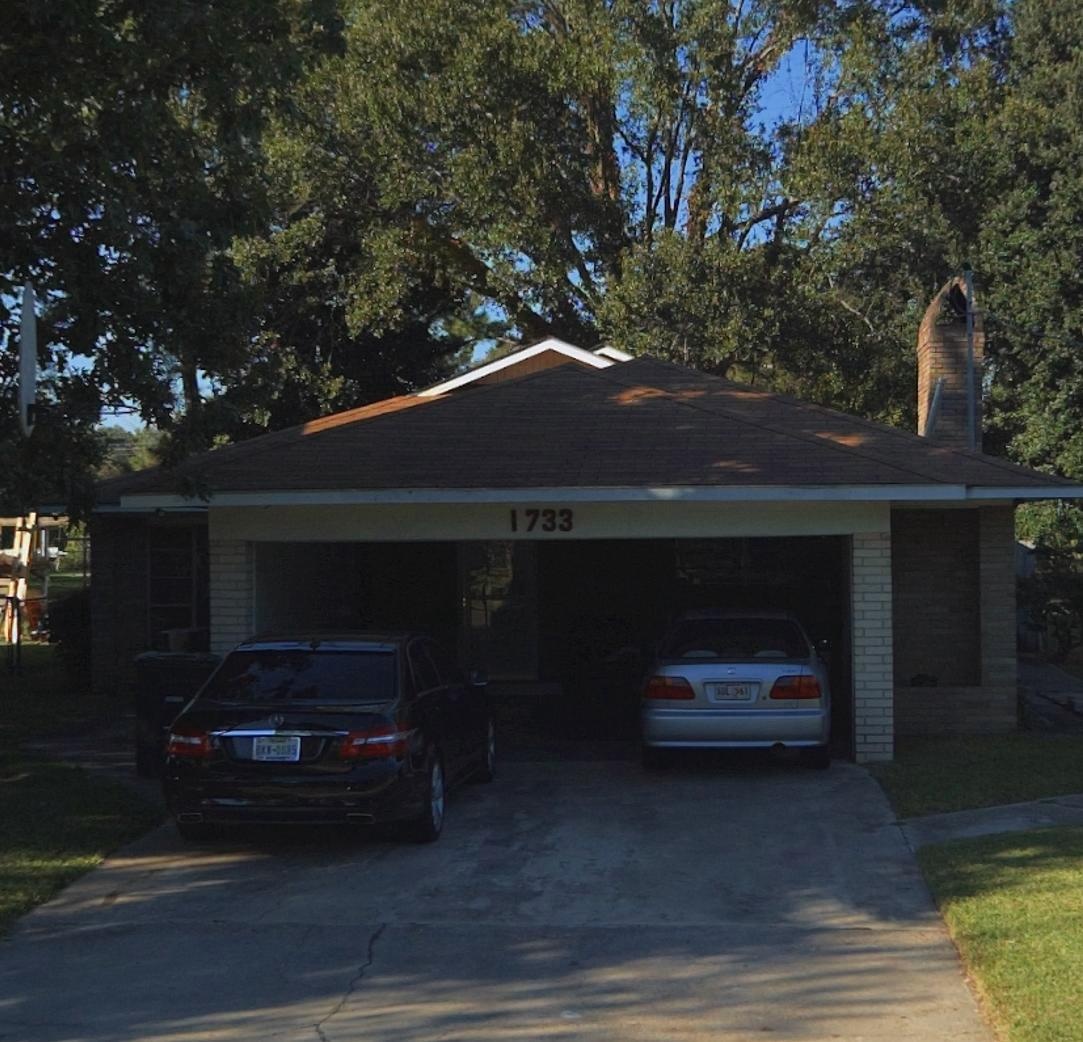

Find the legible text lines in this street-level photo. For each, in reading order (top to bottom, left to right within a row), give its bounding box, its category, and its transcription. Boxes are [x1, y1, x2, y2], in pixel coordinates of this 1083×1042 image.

[509, 507, 574, 532] StreetNumber: 1733
[715, 686, 750, 696] None: S*L**61
[255, 743, 297, 755] None: B****685